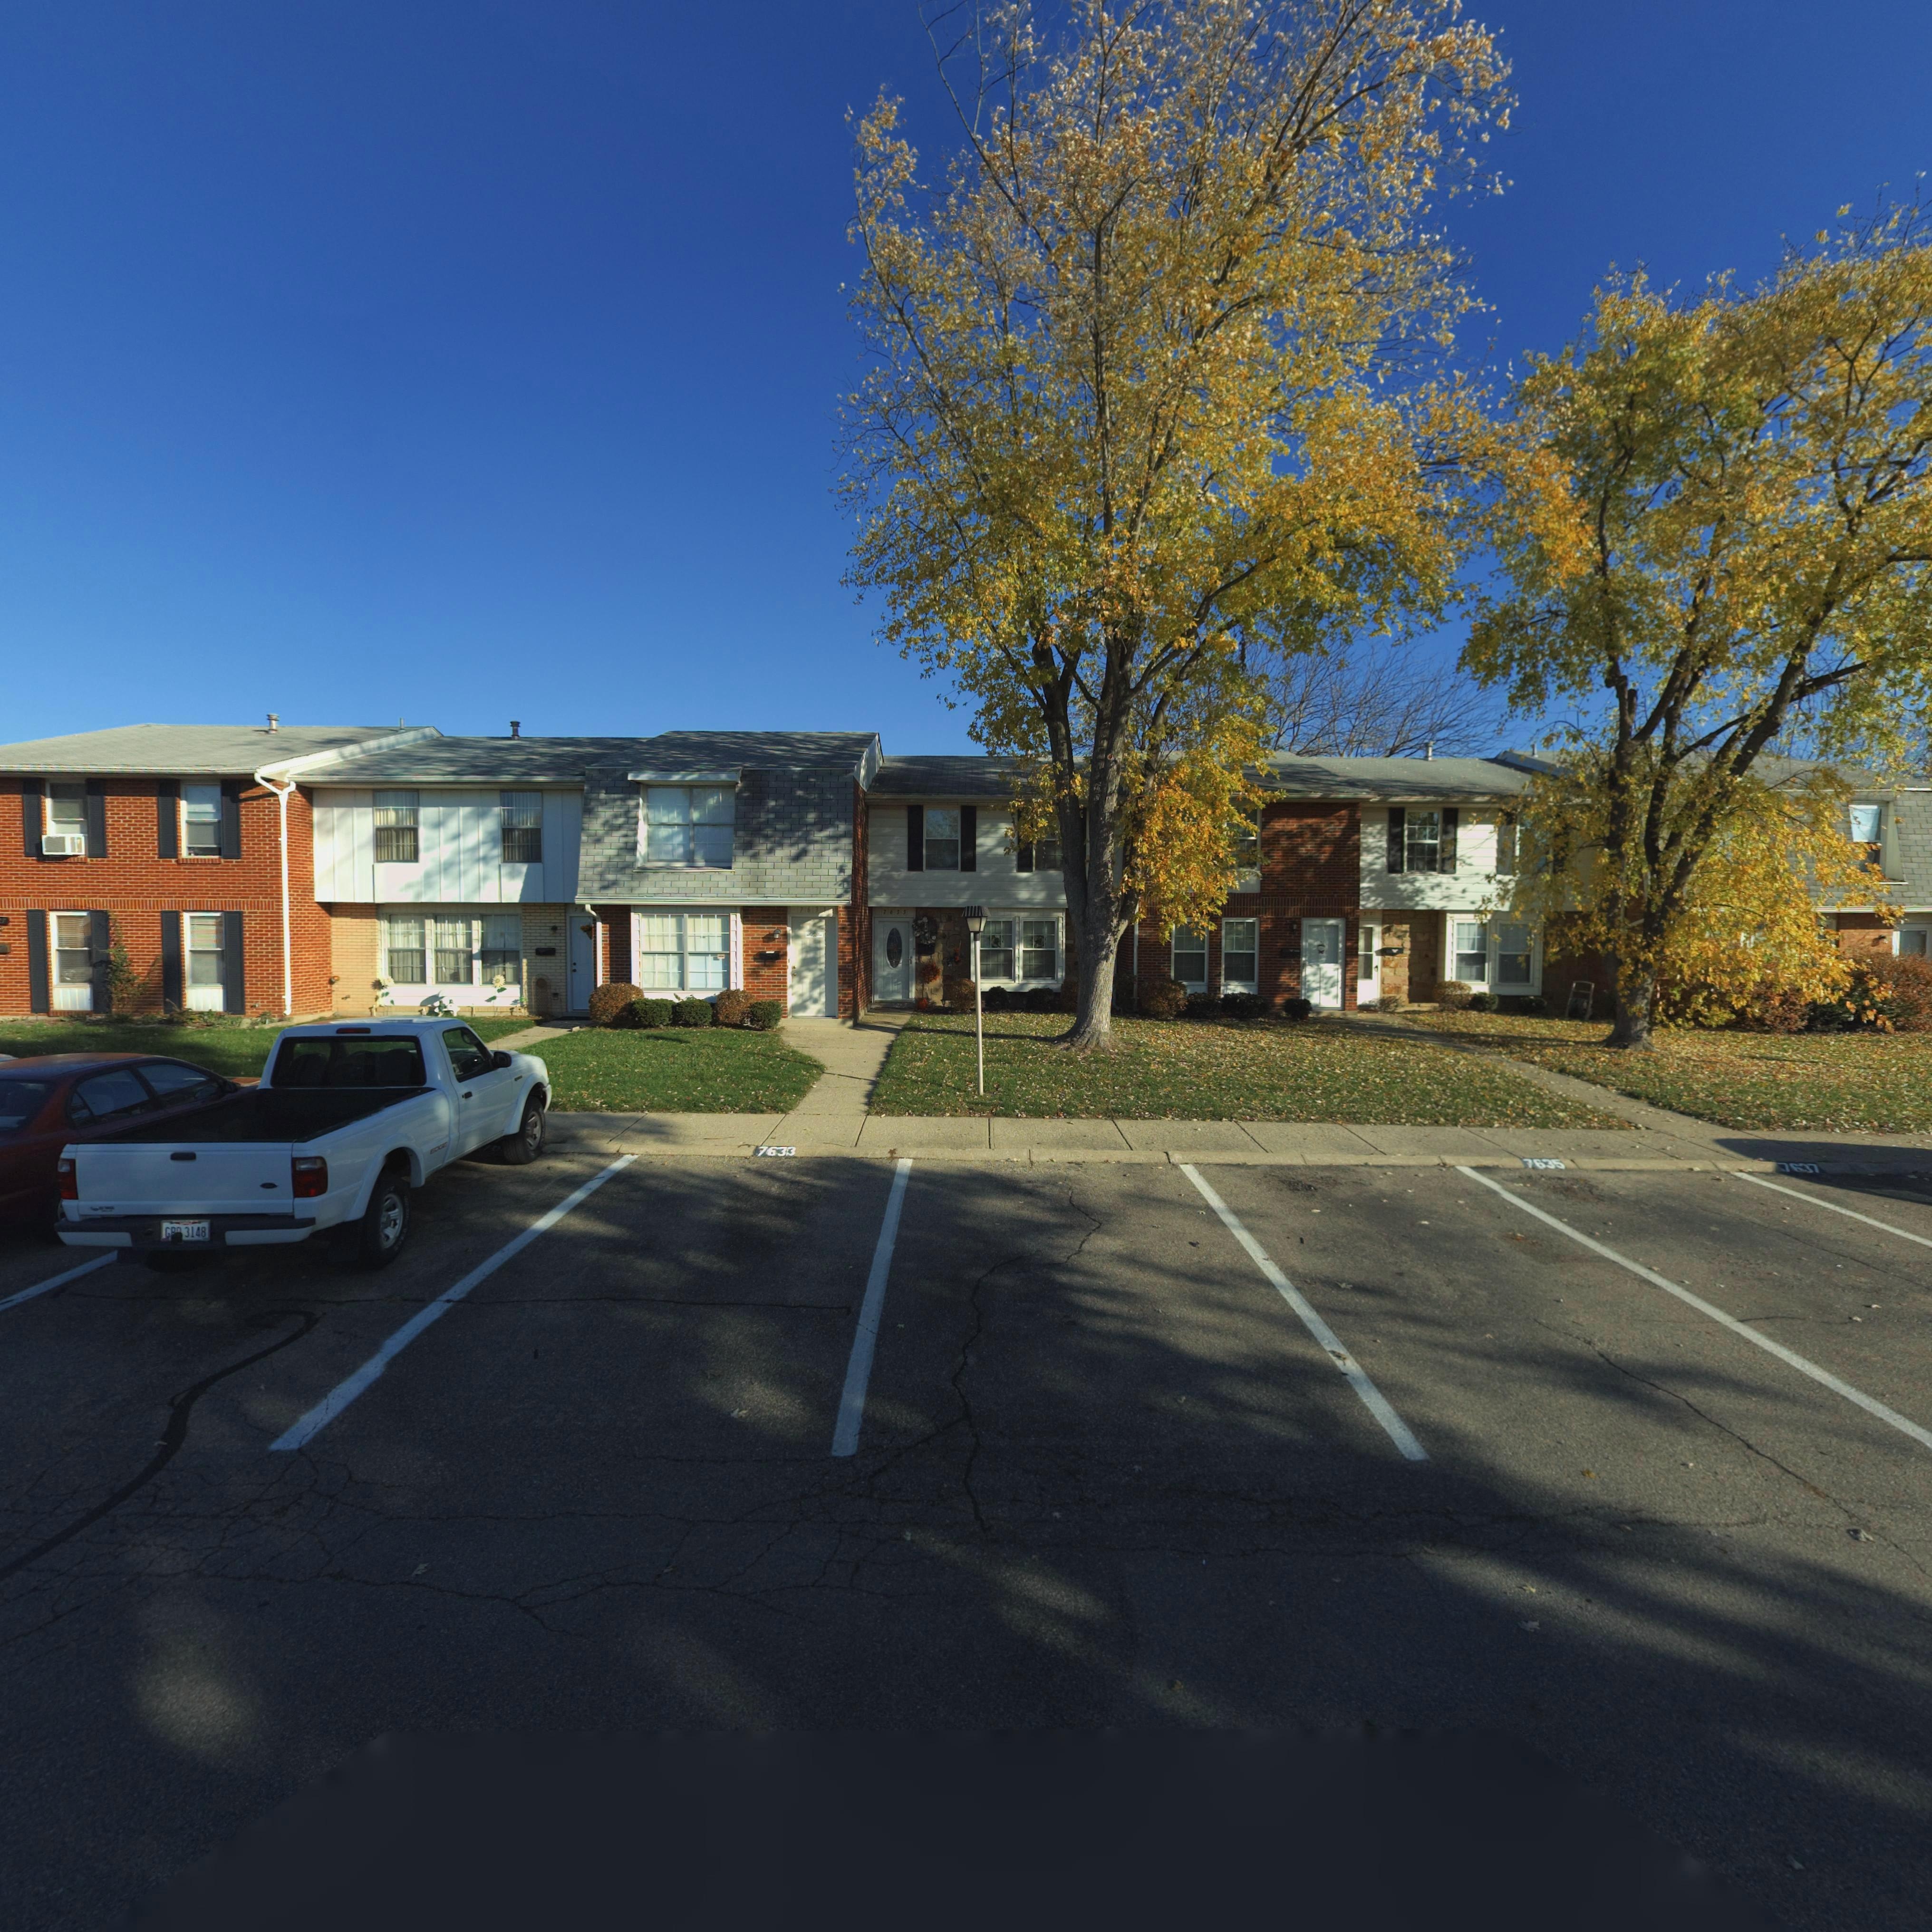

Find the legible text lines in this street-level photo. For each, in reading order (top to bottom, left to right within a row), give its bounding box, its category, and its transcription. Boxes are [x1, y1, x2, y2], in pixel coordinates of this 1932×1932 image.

[574, 907, 585, 912] StreetNumber: 76
[799, 906, 826, 914] StreetNumber: 7631
[882, 909, 907, 915] StreetNumber: 7635
[1362, 911, 1374, 917] StreetNumber: 37
[756, 1146, 797, 1157] StreetNumber: 7633
[1521, 1158, 1567, 1170] StreetNumber: 7635
[1776, 1162, 1820, 1174] StreetNumber: 7637